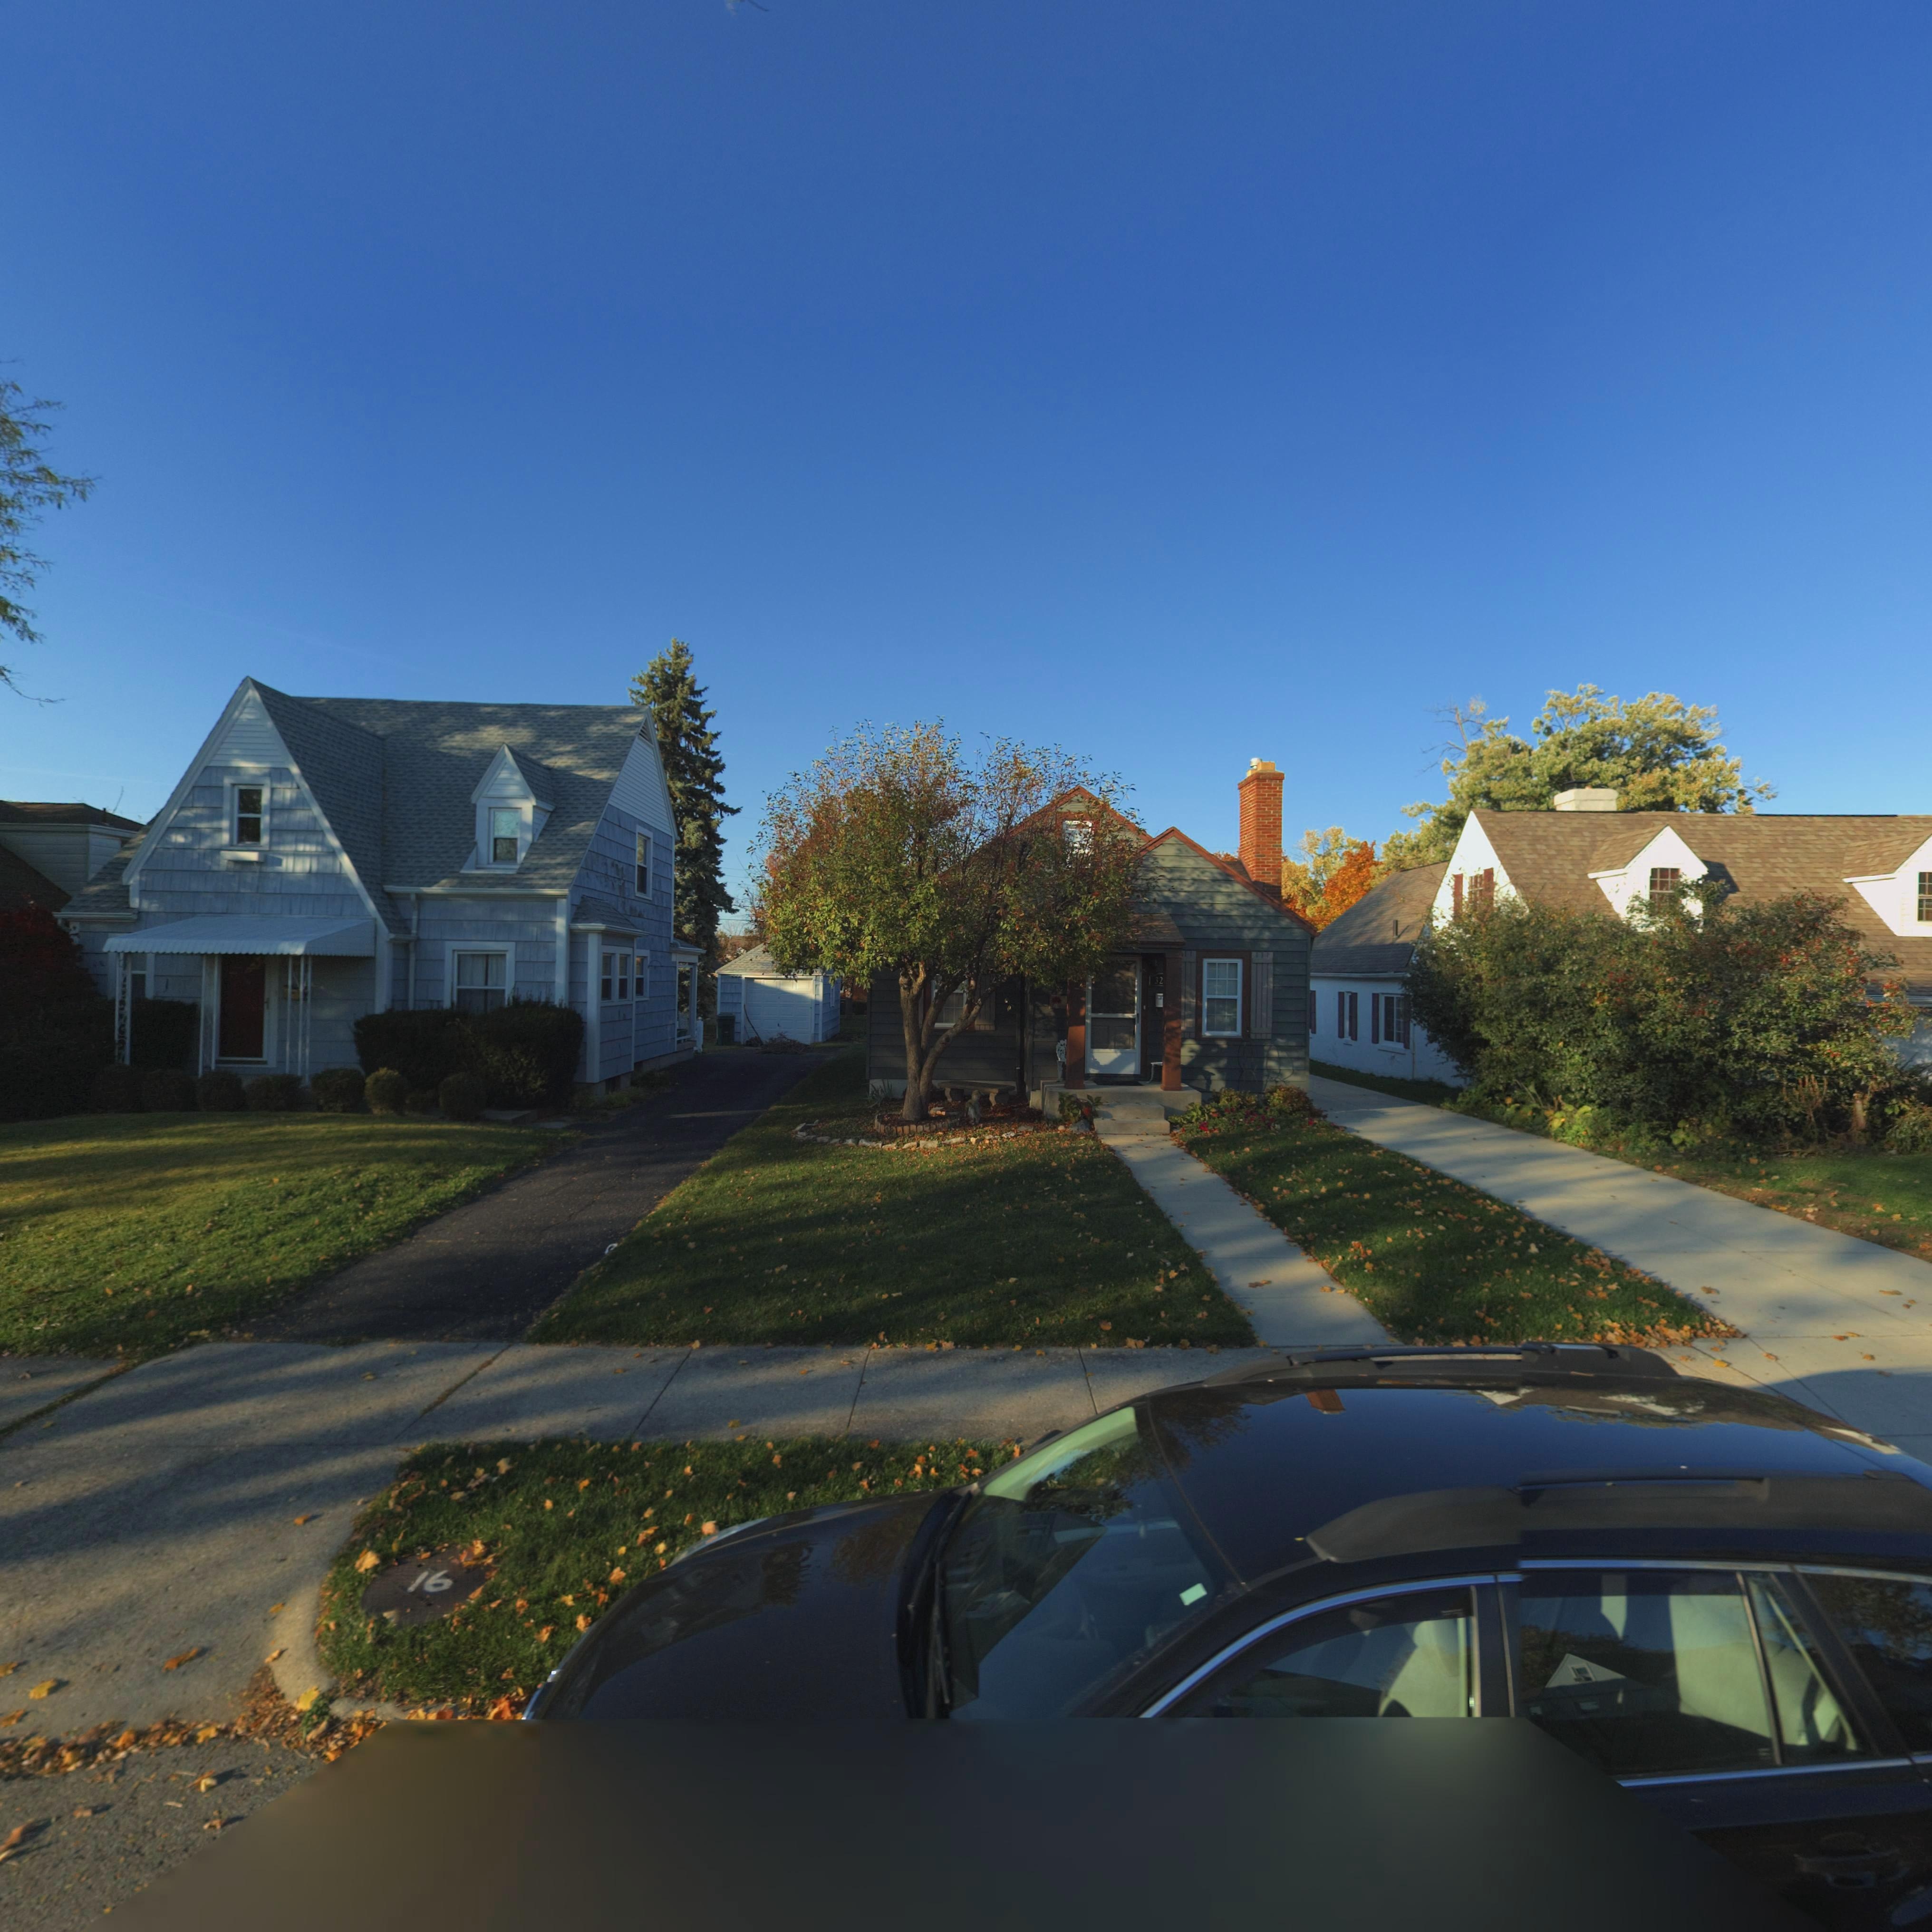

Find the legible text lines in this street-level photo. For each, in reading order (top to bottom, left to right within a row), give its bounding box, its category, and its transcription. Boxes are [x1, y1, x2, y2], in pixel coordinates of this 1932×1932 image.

[1154, 976, 1164, 985] StreetNumber: 32